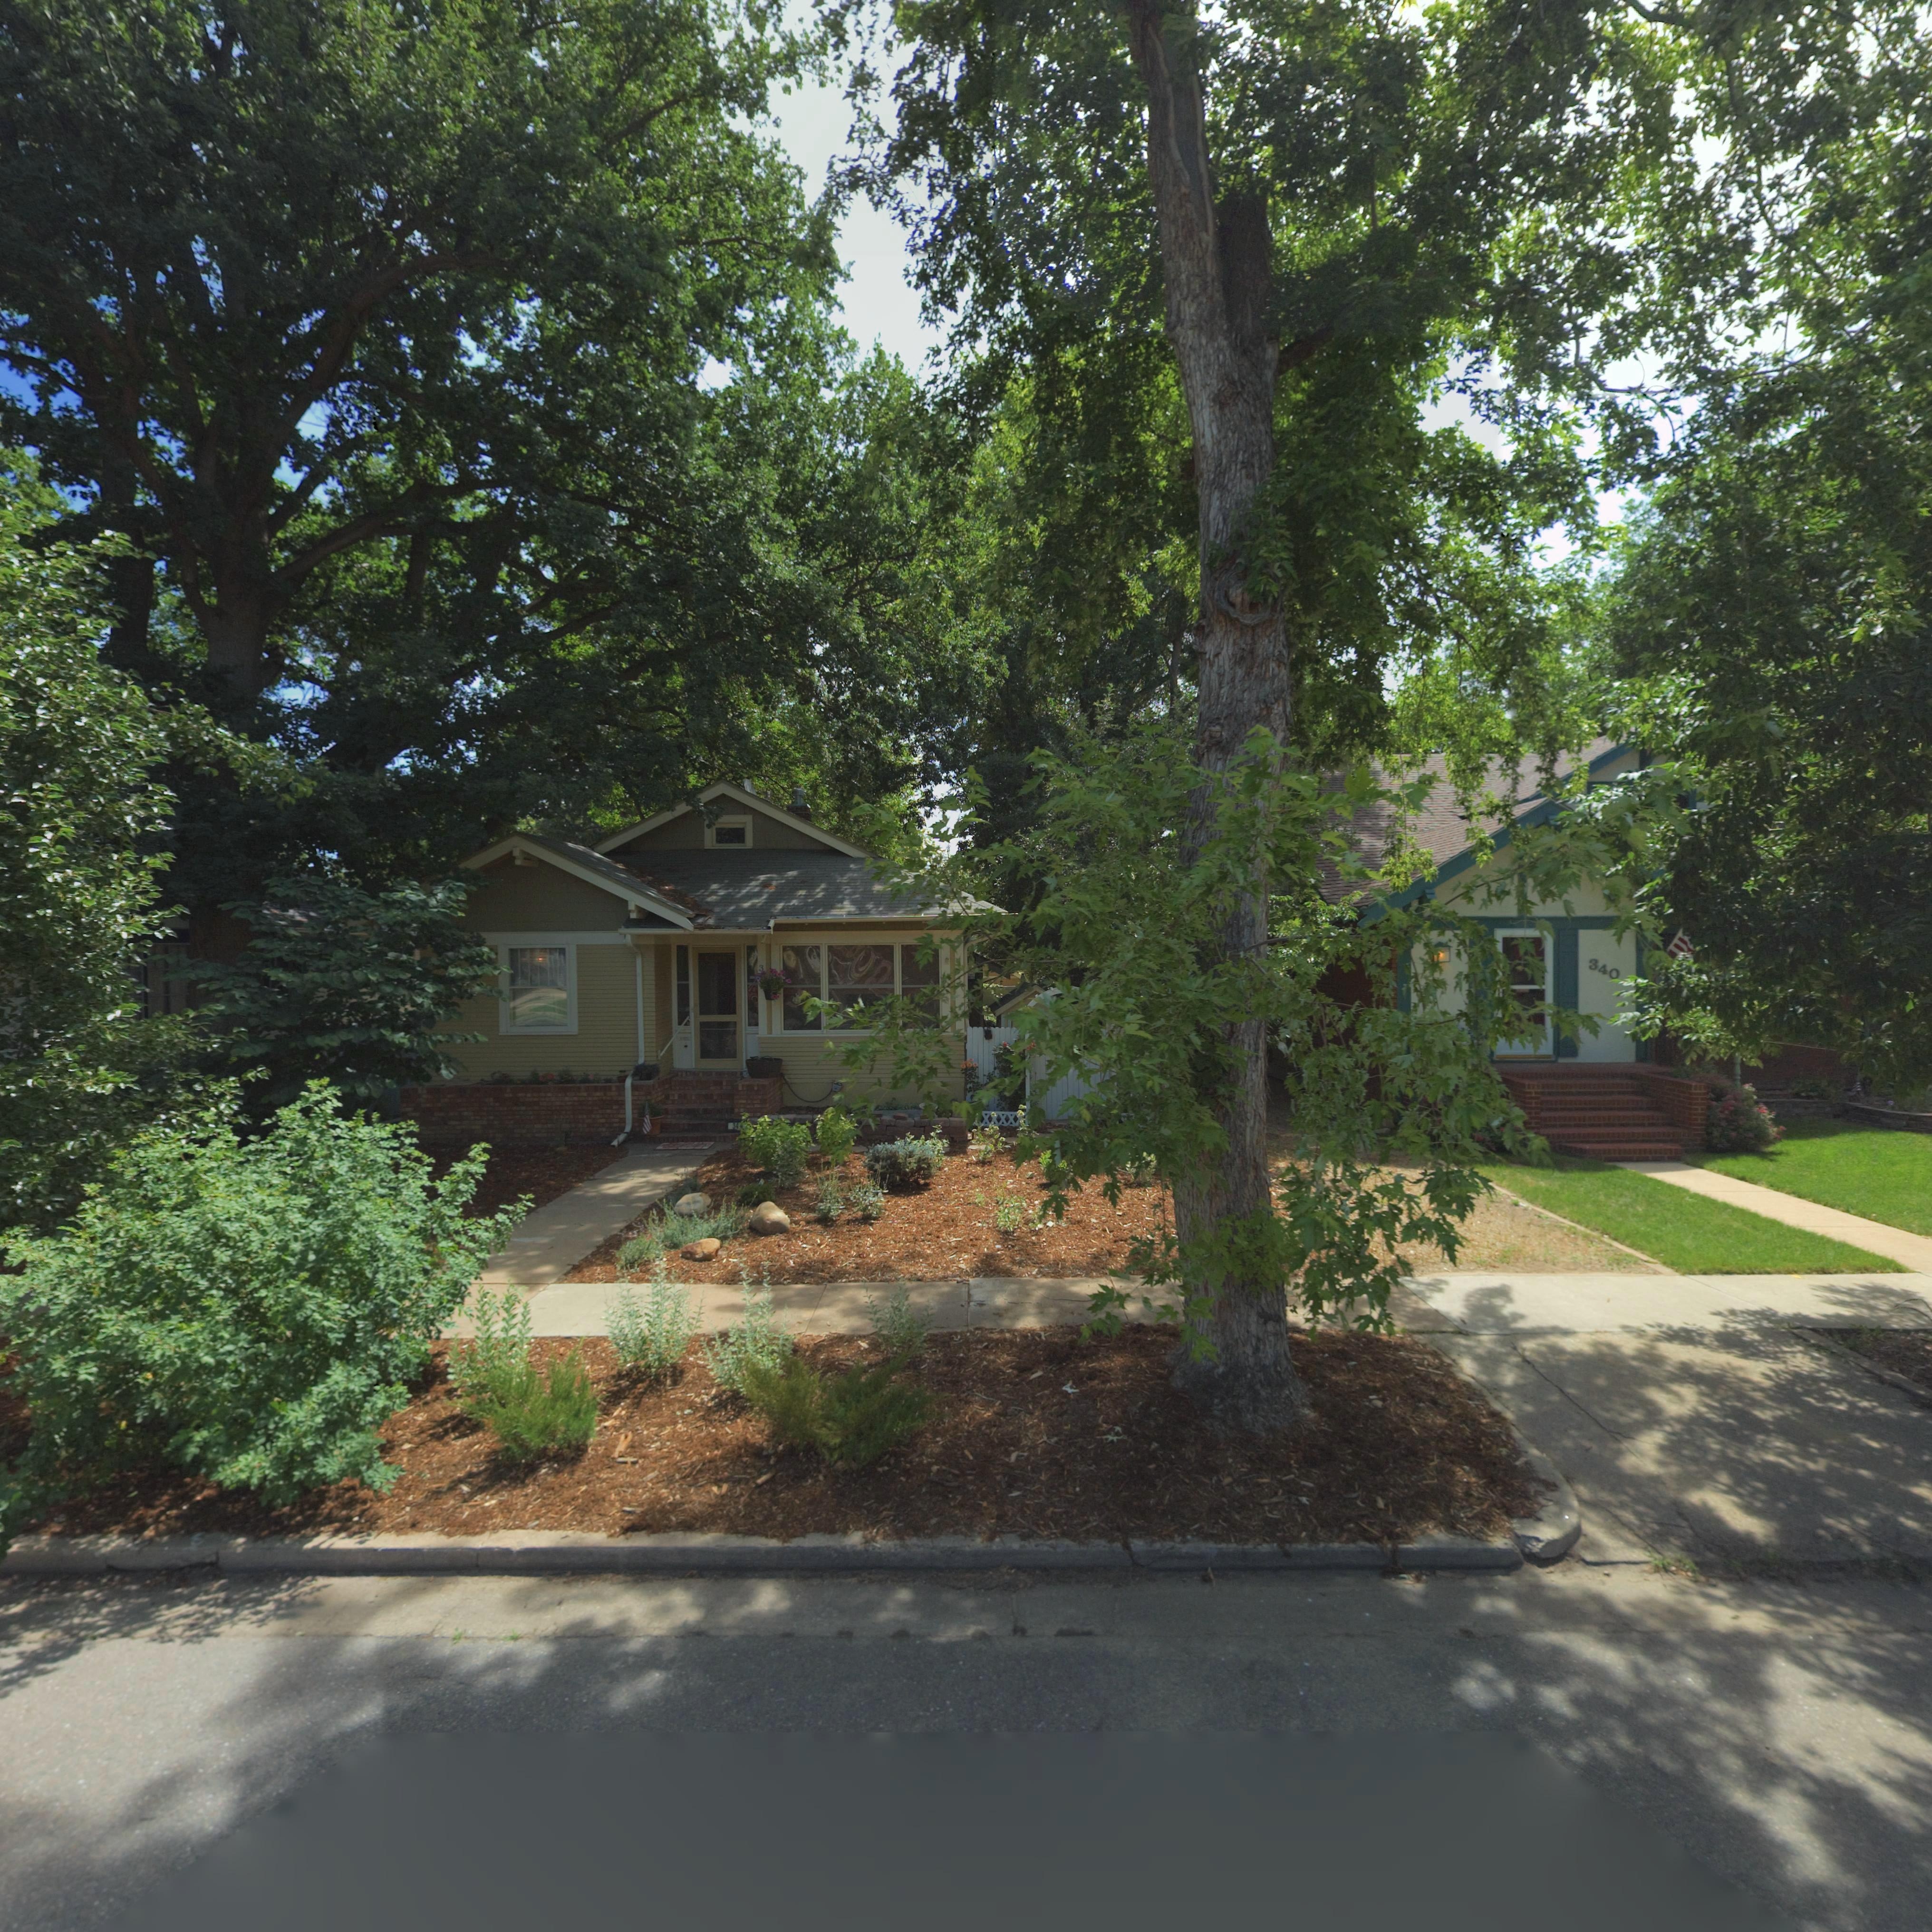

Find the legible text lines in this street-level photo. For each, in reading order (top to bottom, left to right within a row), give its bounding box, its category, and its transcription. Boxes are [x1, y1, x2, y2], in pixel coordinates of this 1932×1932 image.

[758, 964, 763, 971] StreetNumber: 3
[1588, 958, 1620, 979] StreetNumber: 340